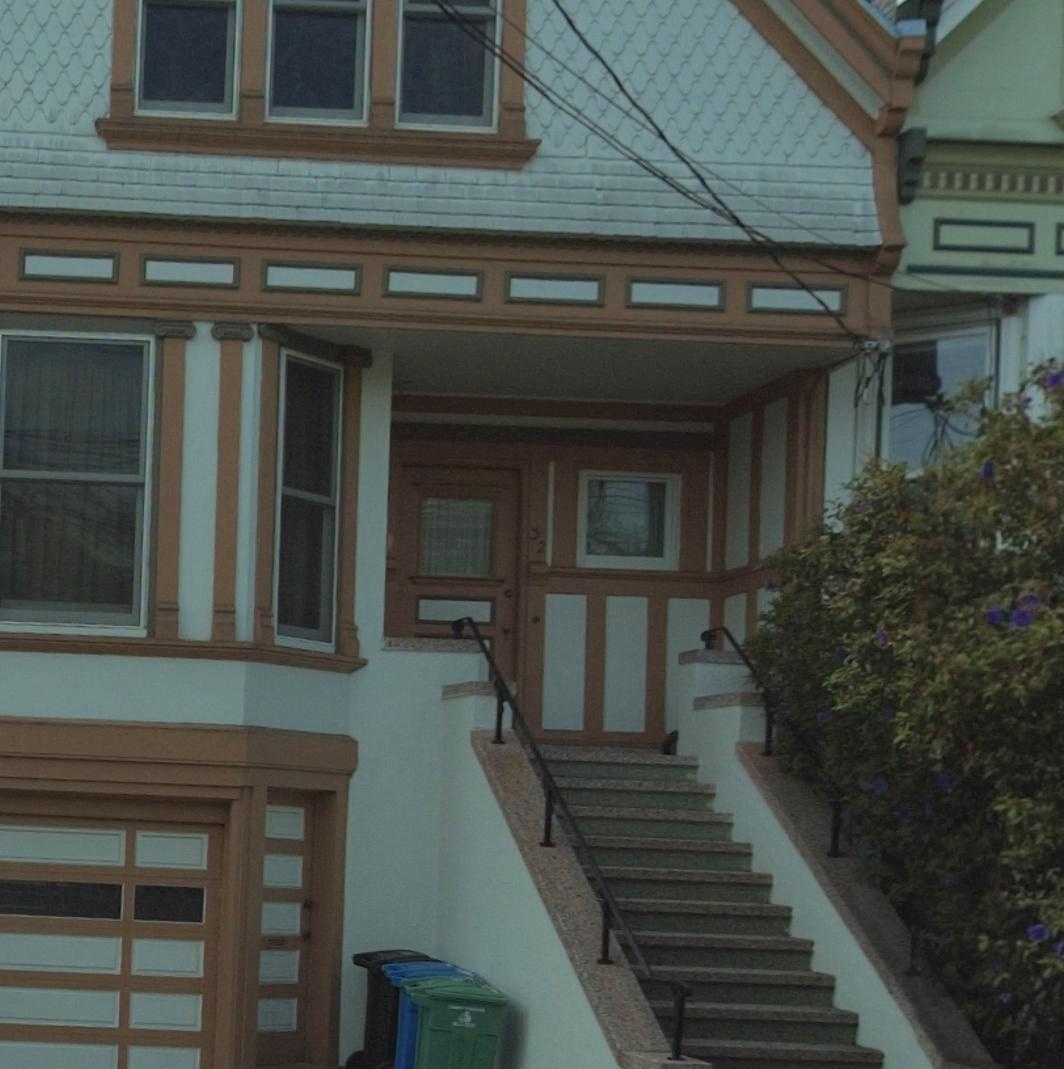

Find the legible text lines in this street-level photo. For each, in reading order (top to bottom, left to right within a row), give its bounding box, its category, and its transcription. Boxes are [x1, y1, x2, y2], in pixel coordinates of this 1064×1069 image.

[526, 525, 548, 555] StreetNumber: 32